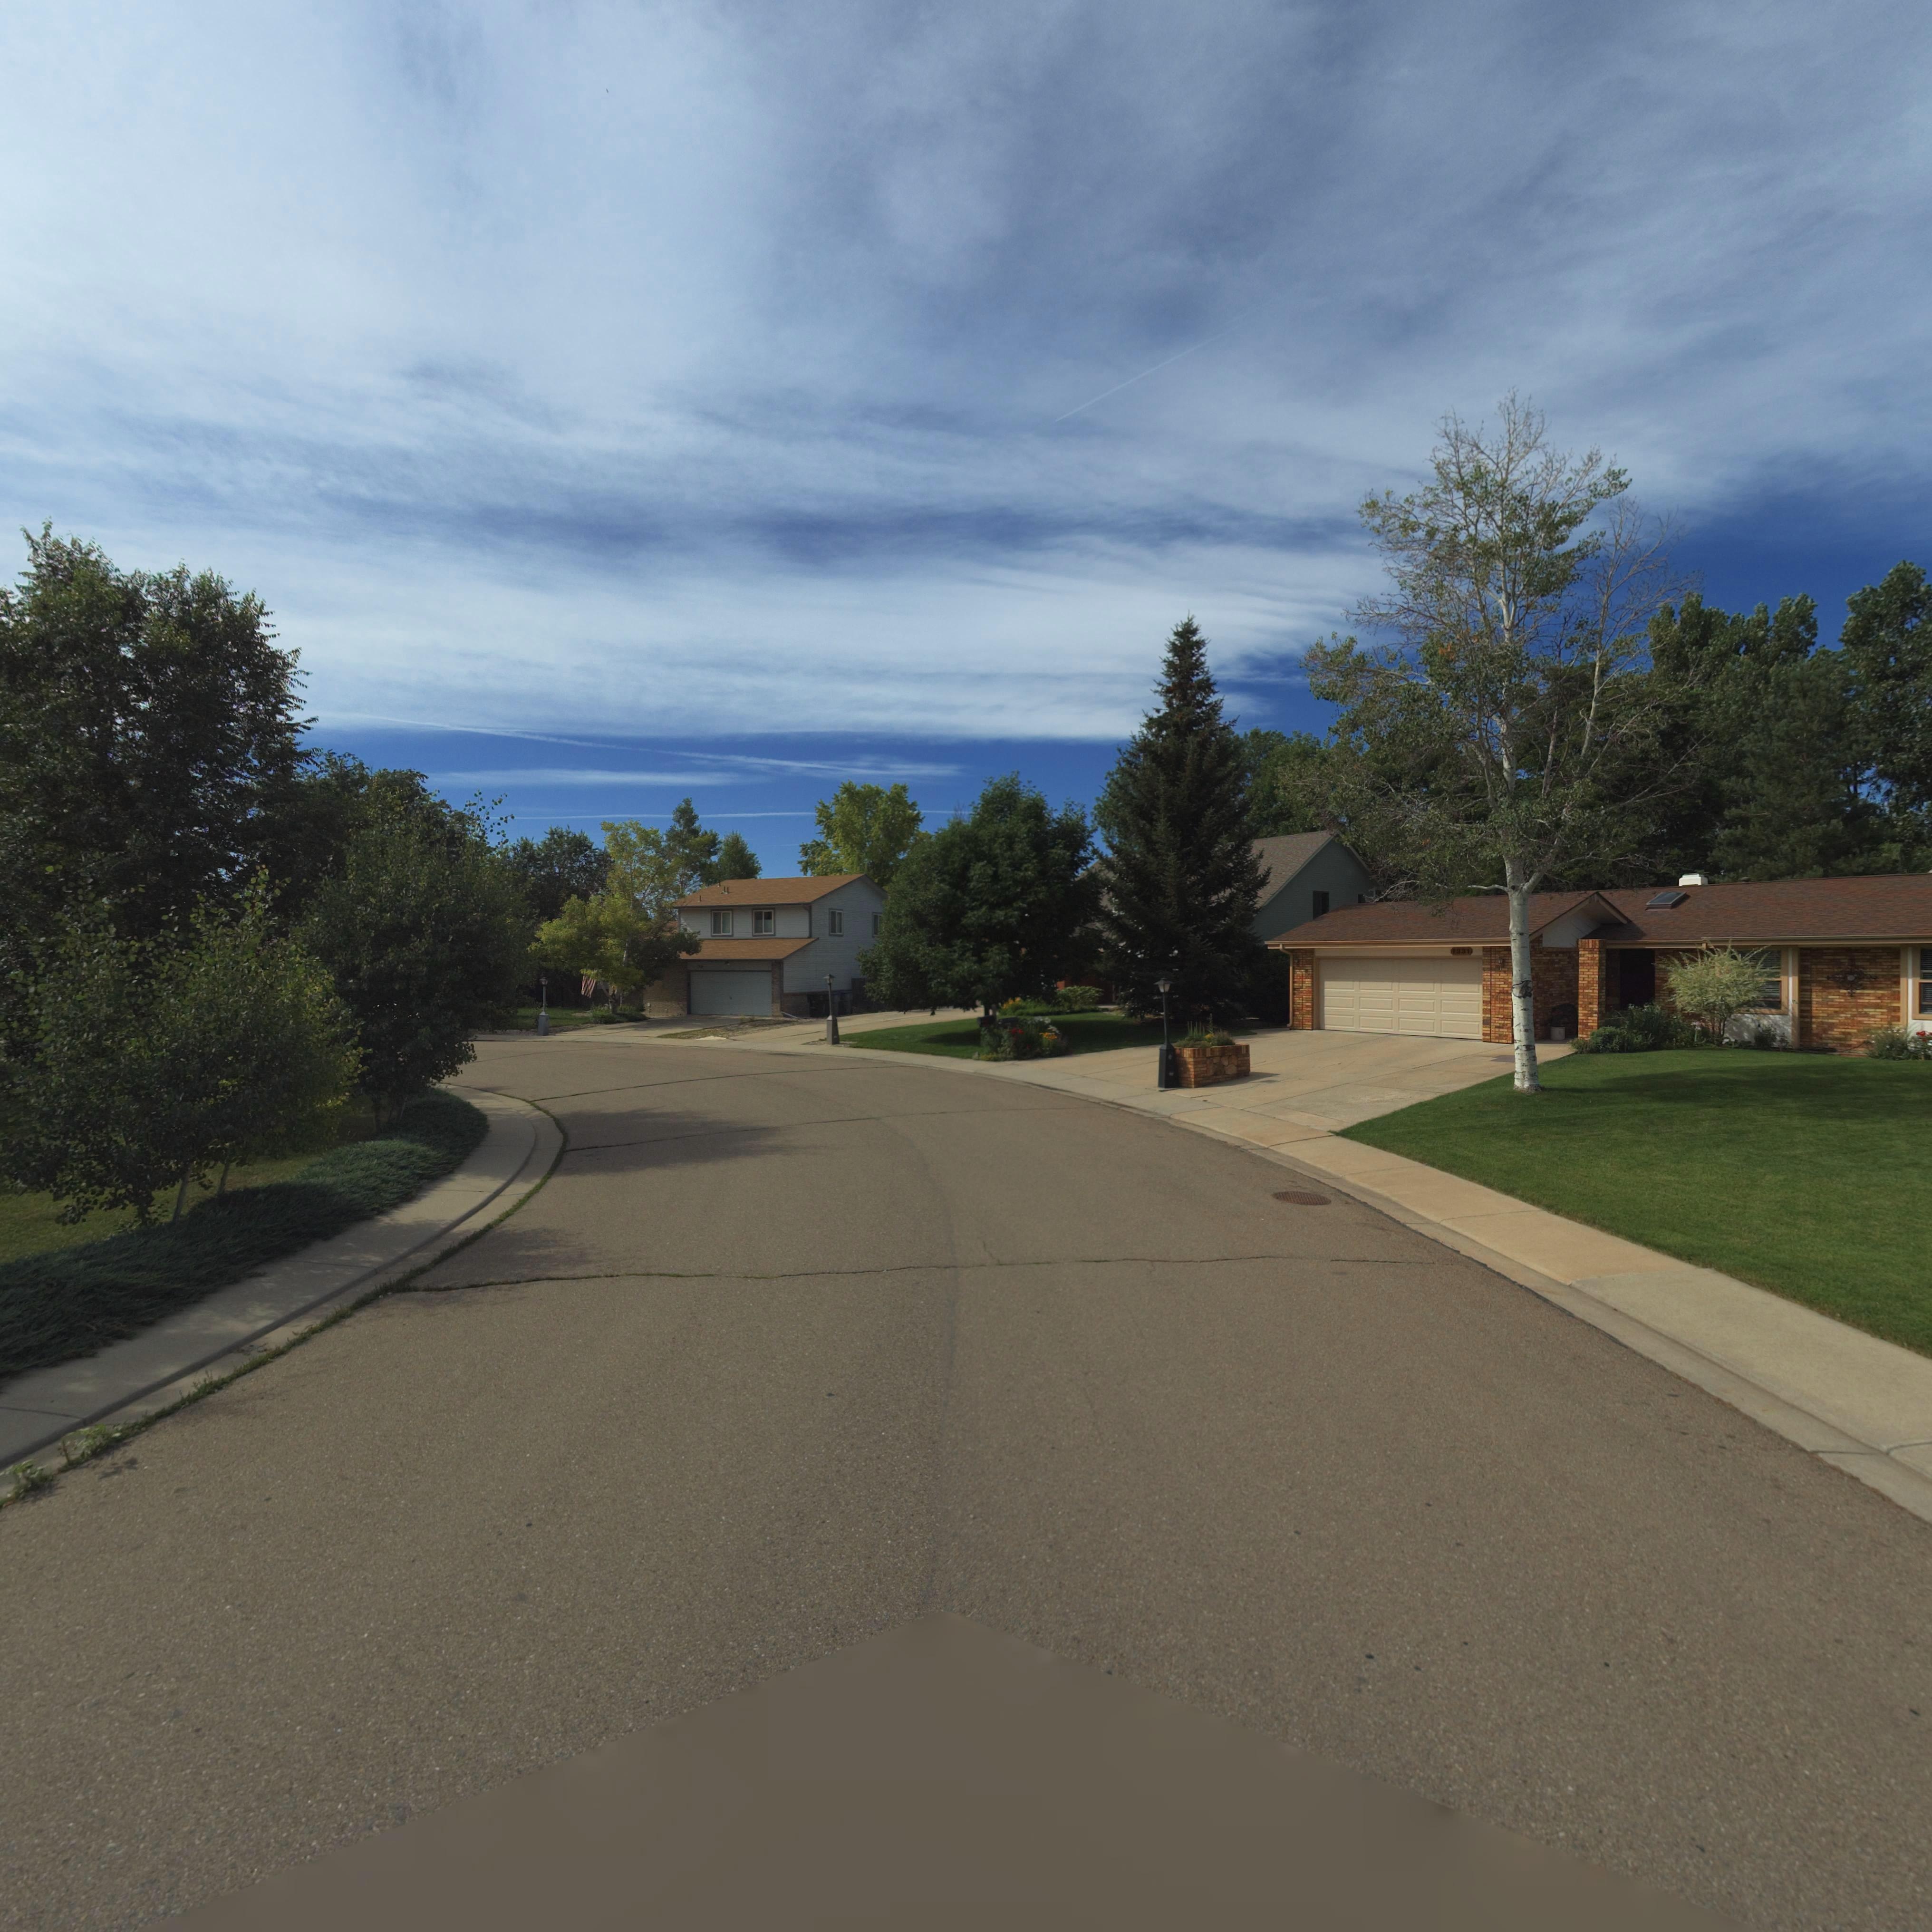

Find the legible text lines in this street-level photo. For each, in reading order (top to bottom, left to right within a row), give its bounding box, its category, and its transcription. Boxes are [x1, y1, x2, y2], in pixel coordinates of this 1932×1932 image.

[1452, 948, 1469, 954] StreetNumber: 1331